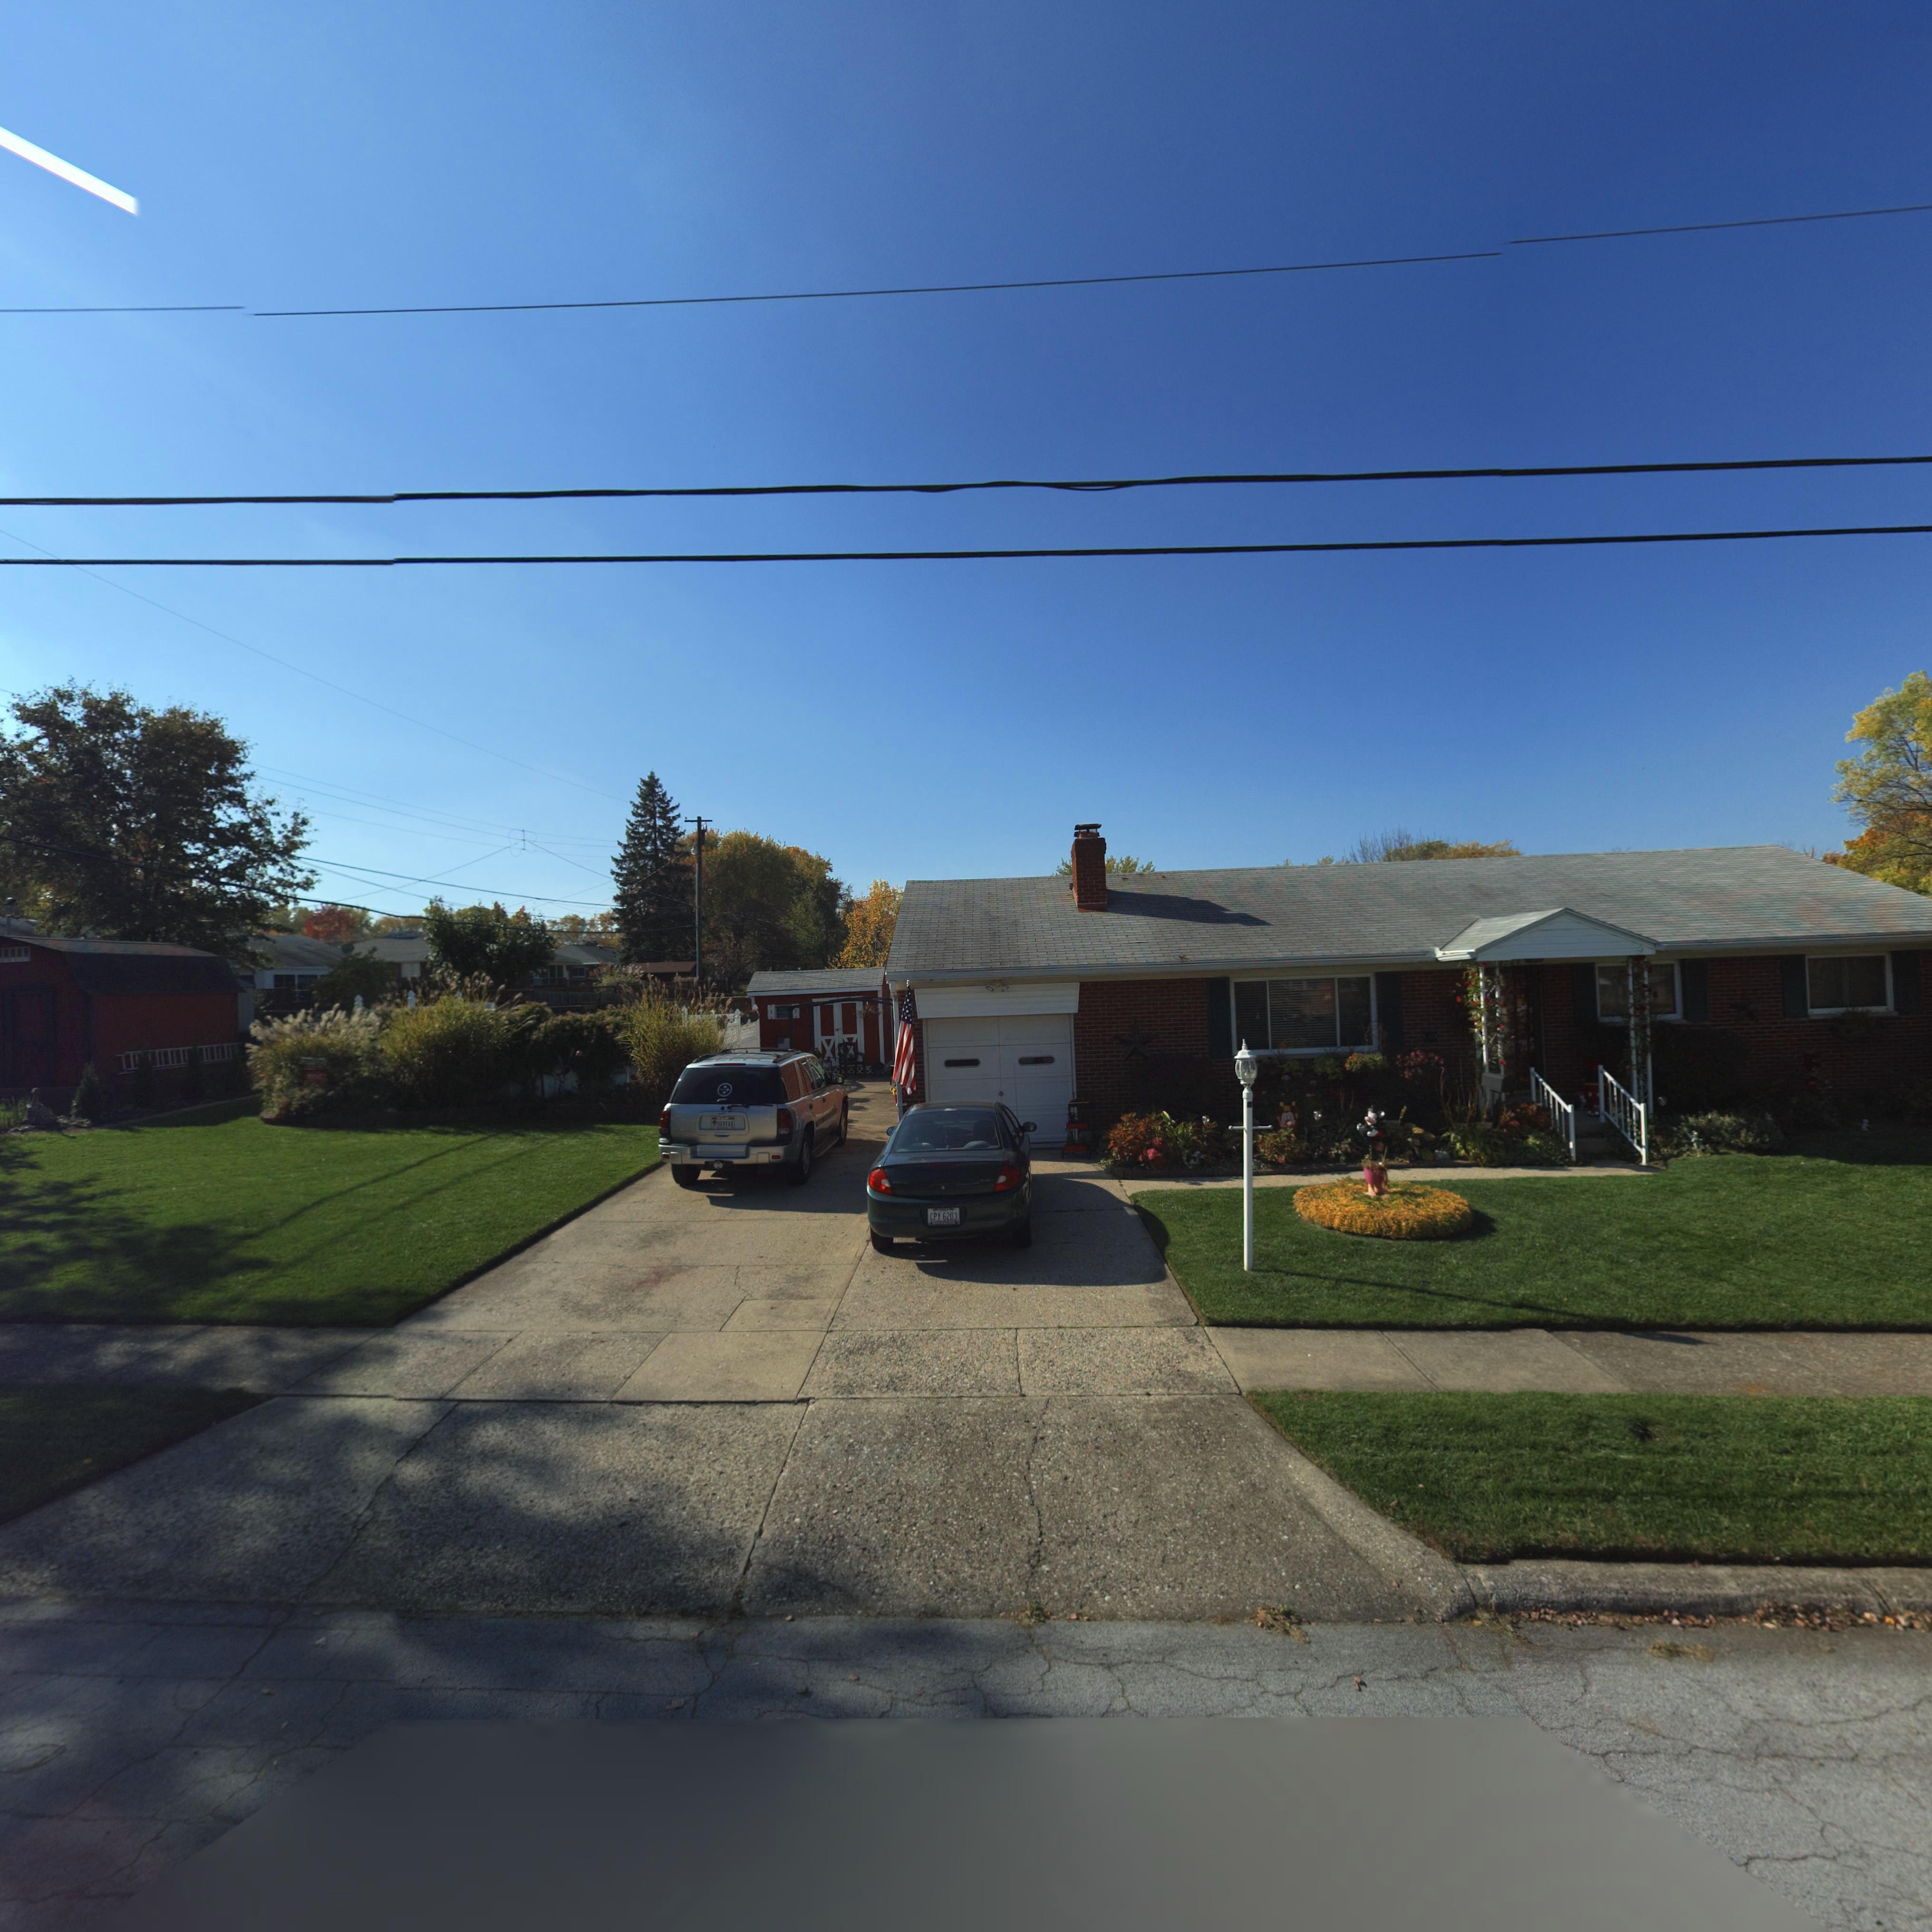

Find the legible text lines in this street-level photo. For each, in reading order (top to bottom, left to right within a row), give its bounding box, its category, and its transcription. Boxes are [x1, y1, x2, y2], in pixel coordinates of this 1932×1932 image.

[1499, 959, 1521, 966] StreetNumber: ***9
[716, 1120, 733, 1127] None: 069TAX
[930, 1211, 957, 1221] None: CPY 6203